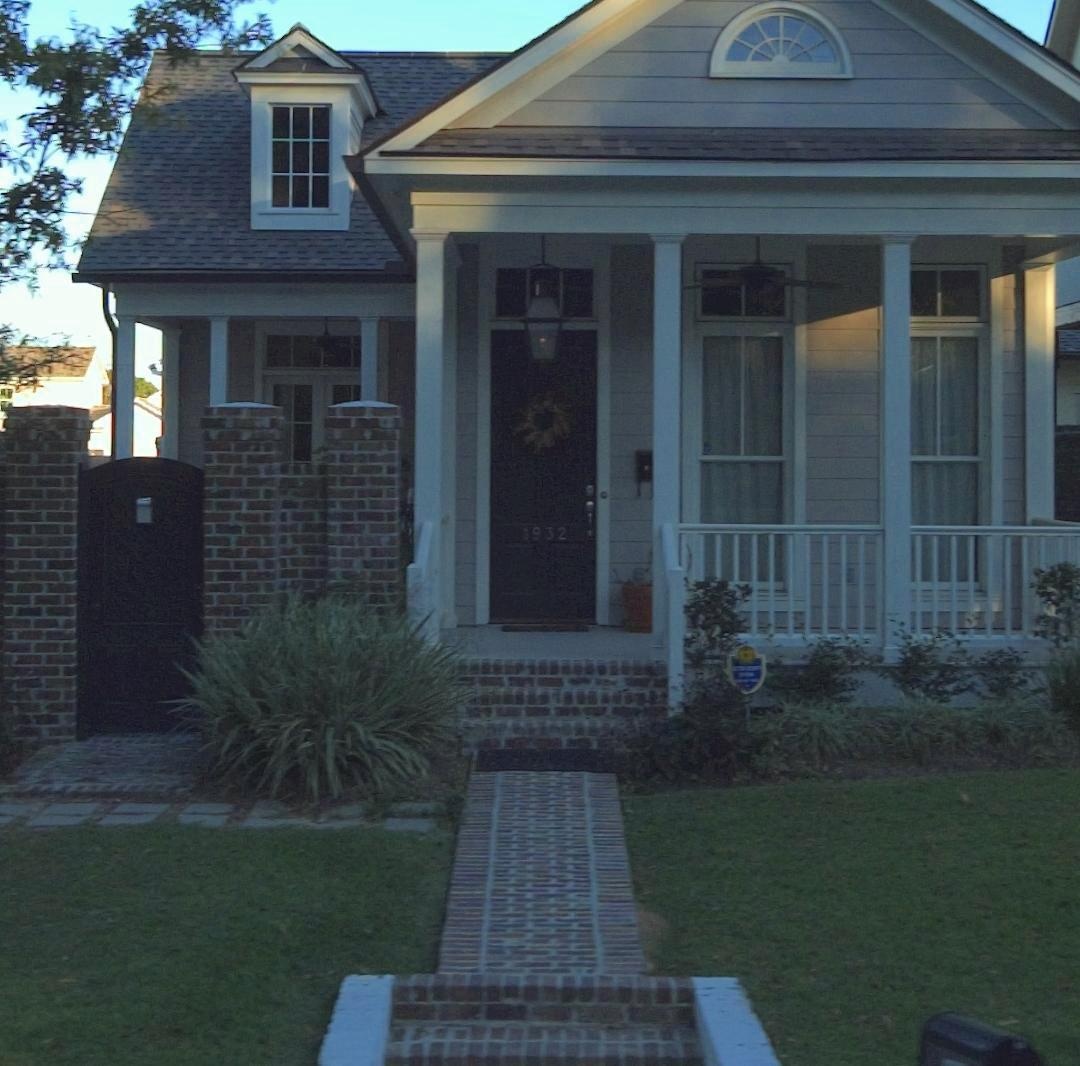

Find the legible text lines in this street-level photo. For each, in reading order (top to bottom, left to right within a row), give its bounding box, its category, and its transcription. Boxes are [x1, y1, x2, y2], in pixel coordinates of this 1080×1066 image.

[520, 524, 568, 543] StreetNumber: 1932